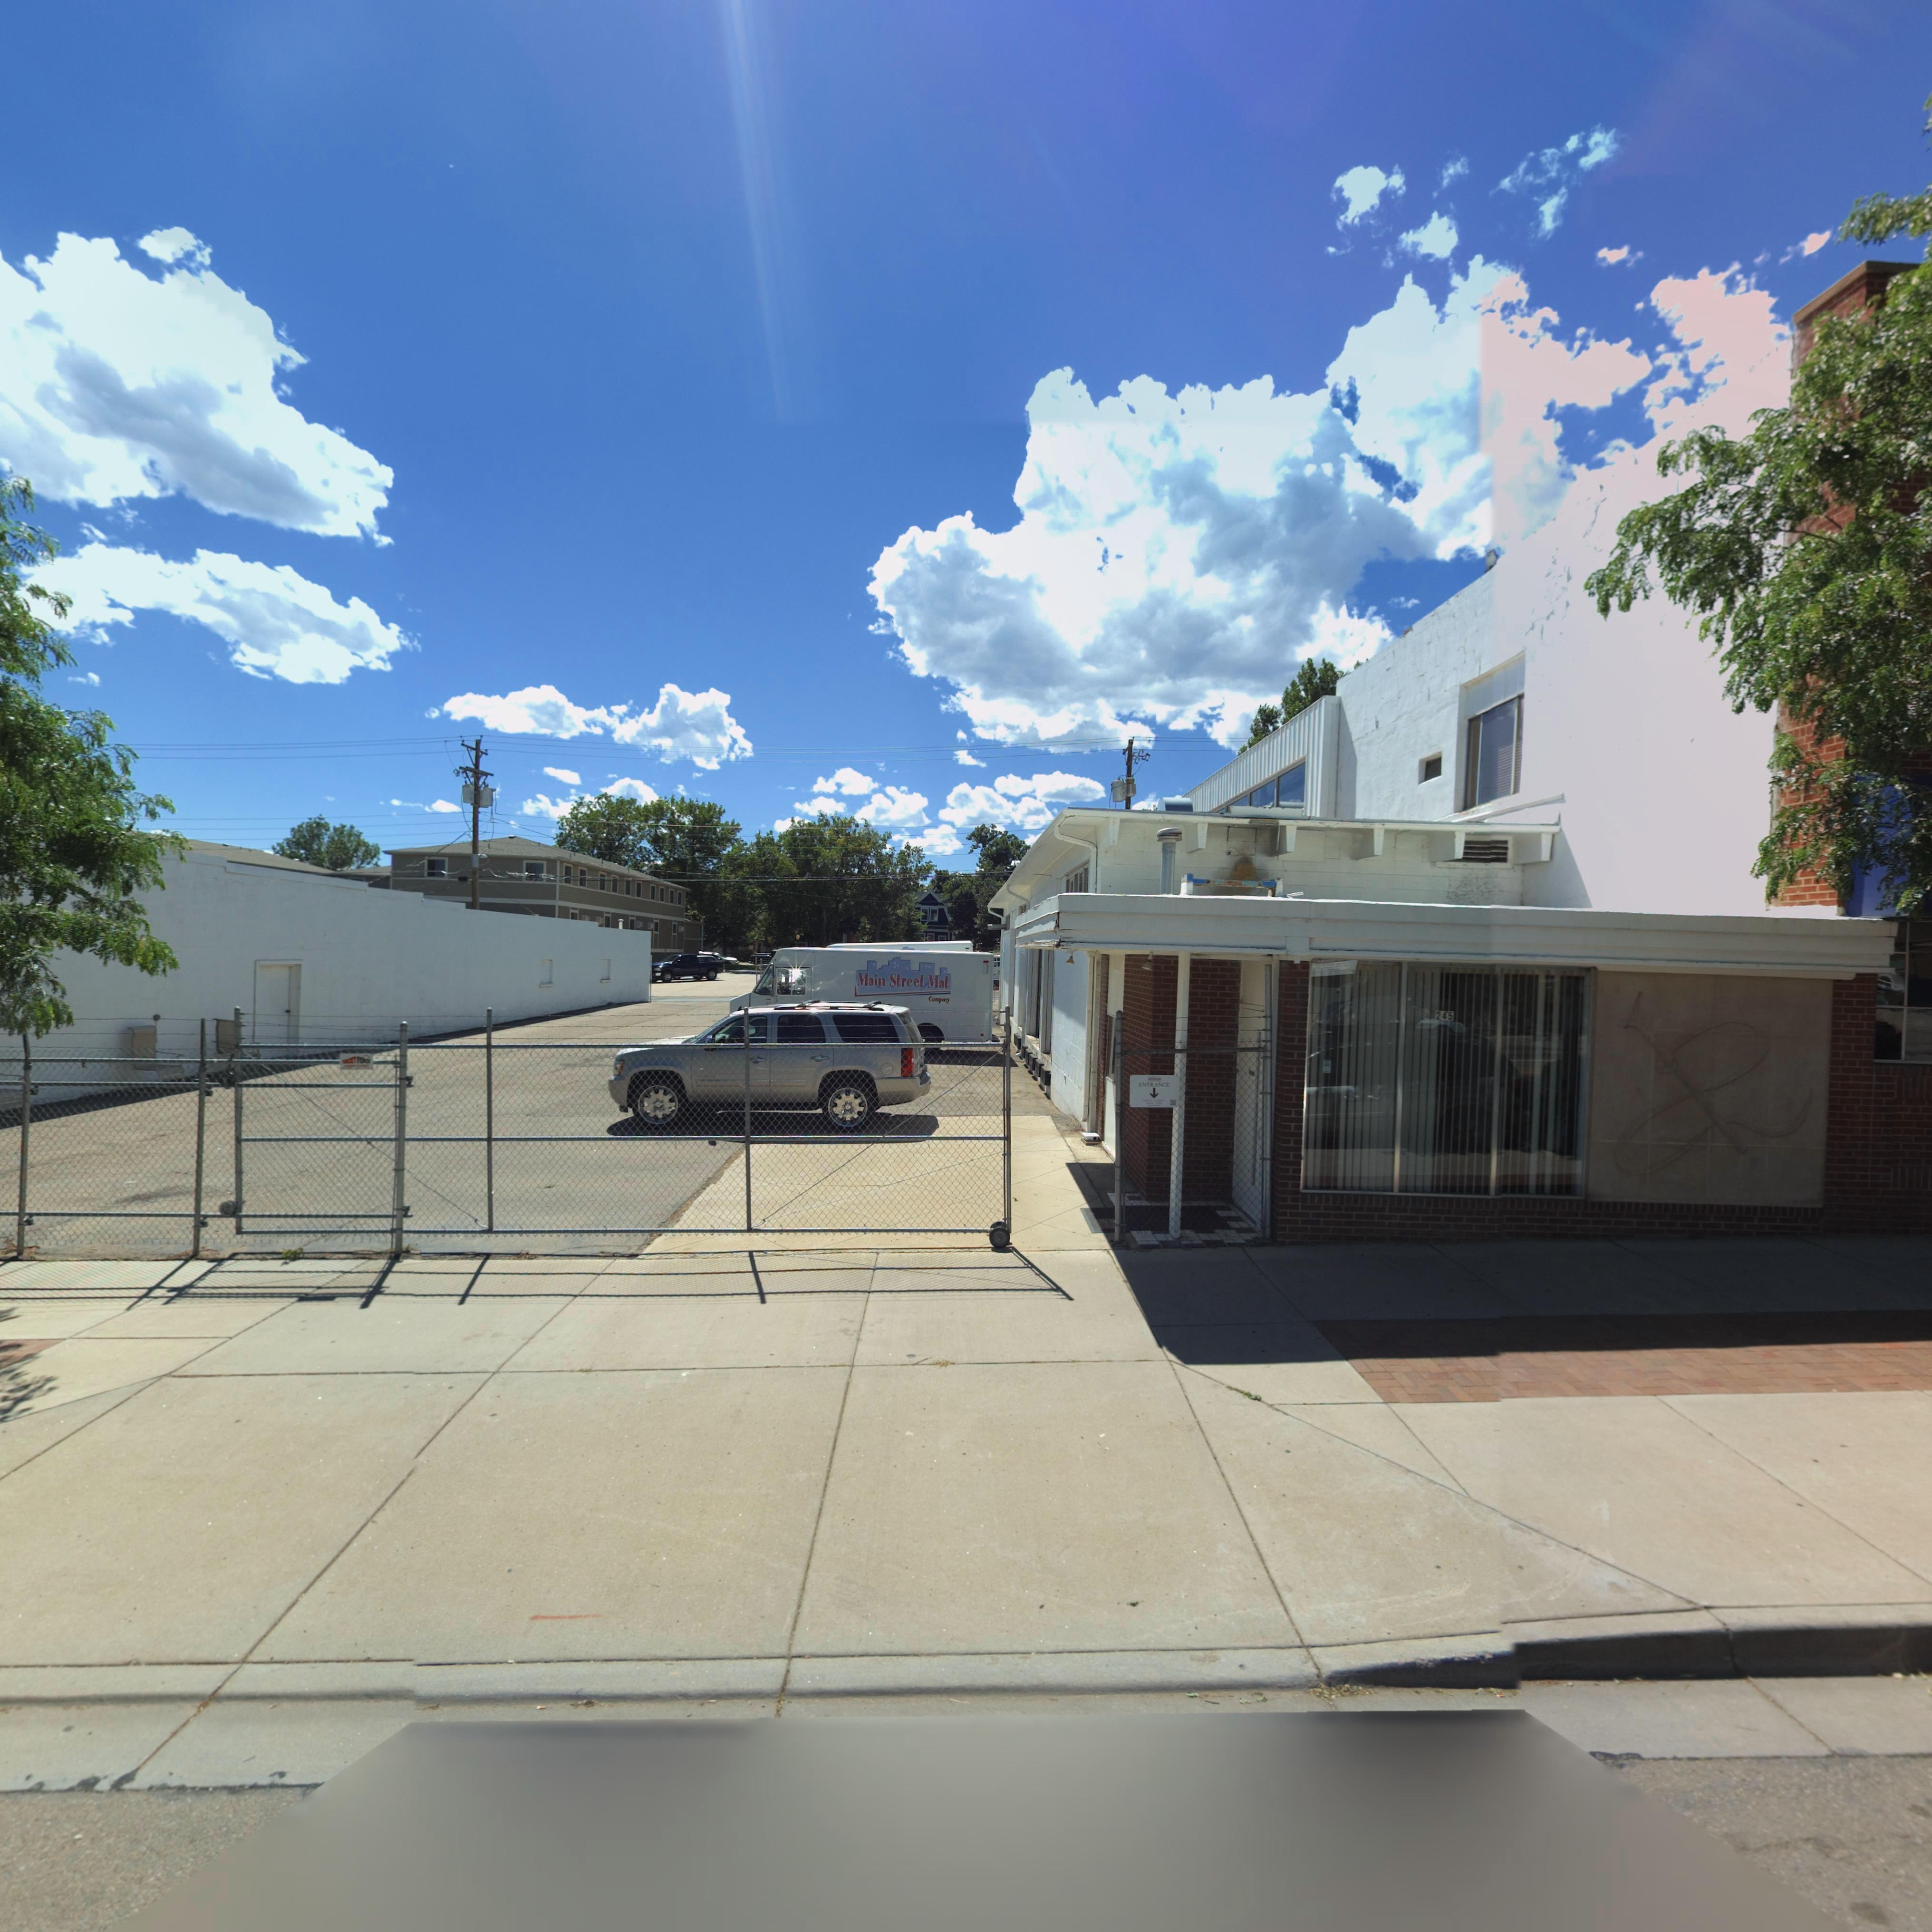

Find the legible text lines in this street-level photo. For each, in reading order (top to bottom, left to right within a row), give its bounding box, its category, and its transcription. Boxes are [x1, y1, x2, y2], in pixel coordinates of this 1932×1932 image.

[1435, 1011, 1452, 1021] StreetNumber: 245